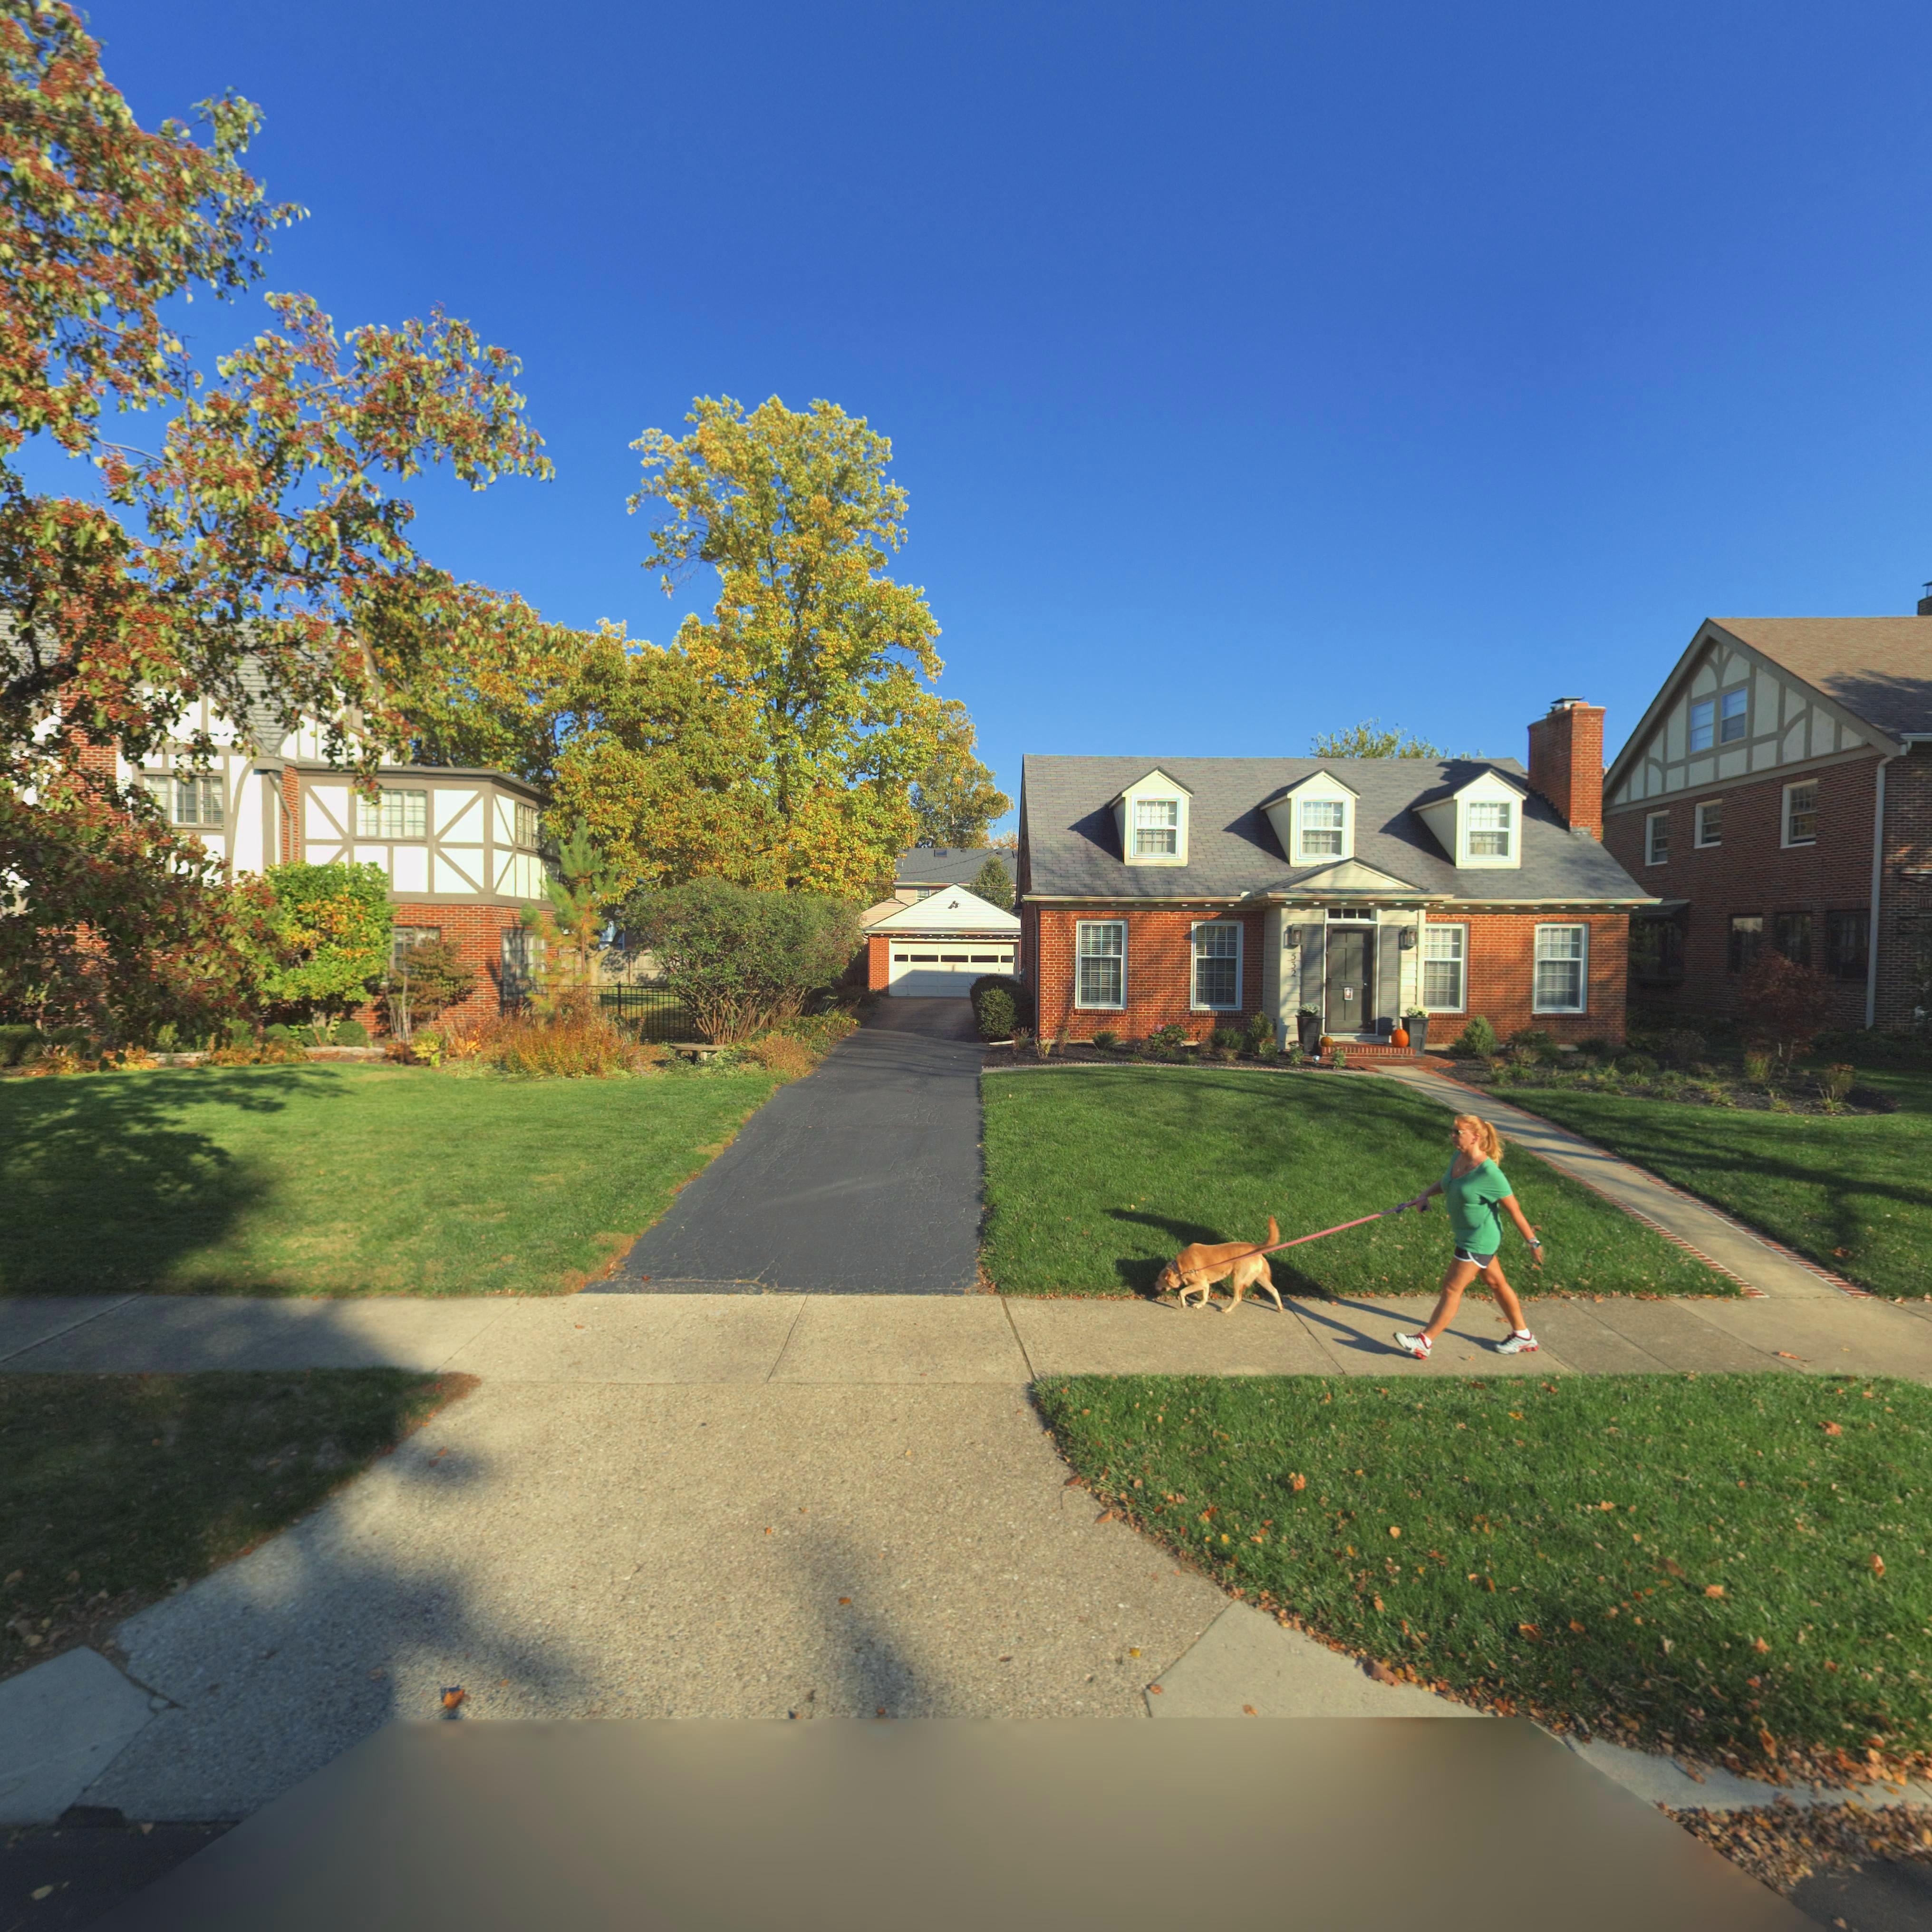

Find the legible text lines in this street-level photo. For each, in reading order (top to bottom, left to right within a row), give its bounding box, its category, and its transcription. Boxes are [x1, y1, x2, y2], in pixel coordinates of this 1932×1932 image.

[1290, 952, 1297, 977] StreetNumber: 532